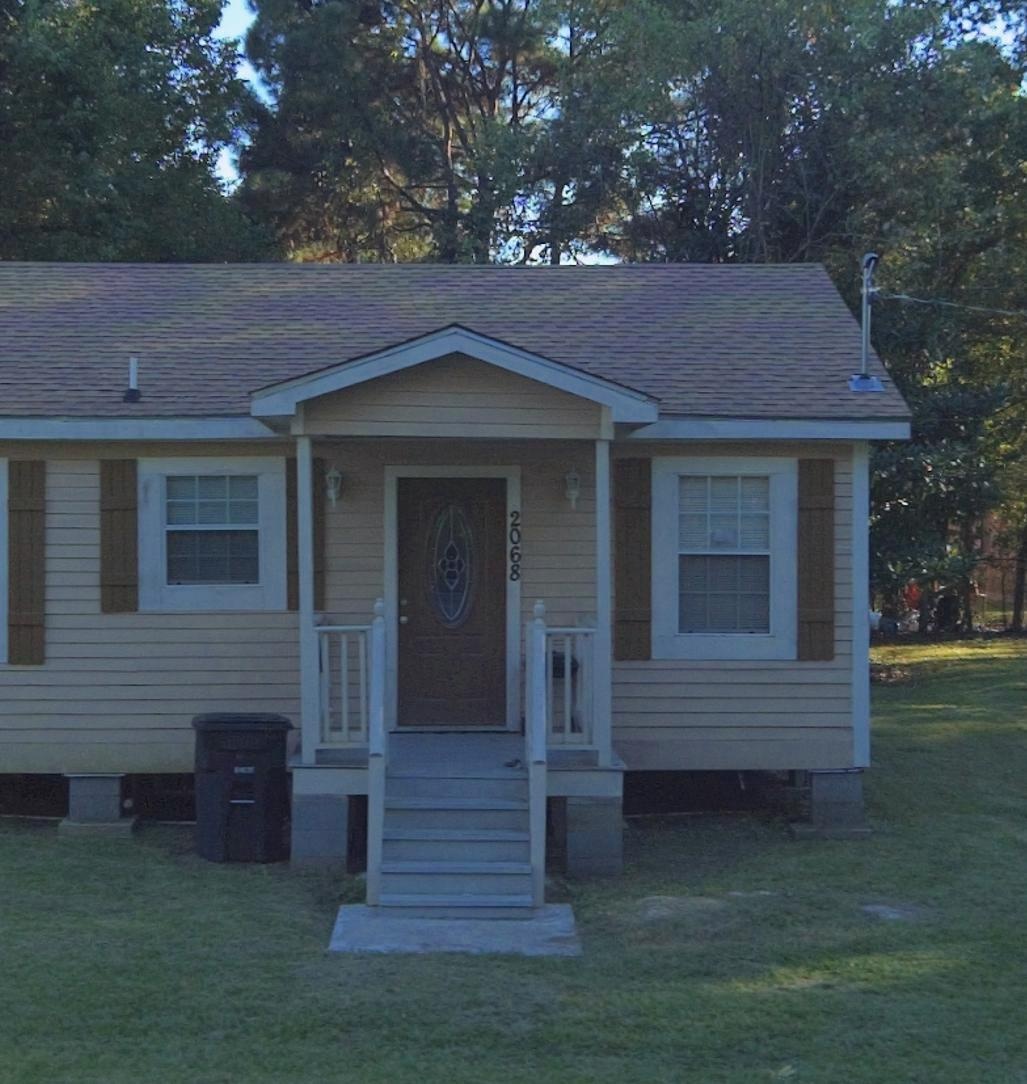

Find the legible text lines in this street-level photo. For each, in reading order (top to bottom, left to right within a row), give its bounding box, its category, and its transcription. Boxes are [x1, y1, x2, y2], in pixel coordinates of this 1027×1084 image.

[510, 509, 522, 582] StreetNumber: 2068